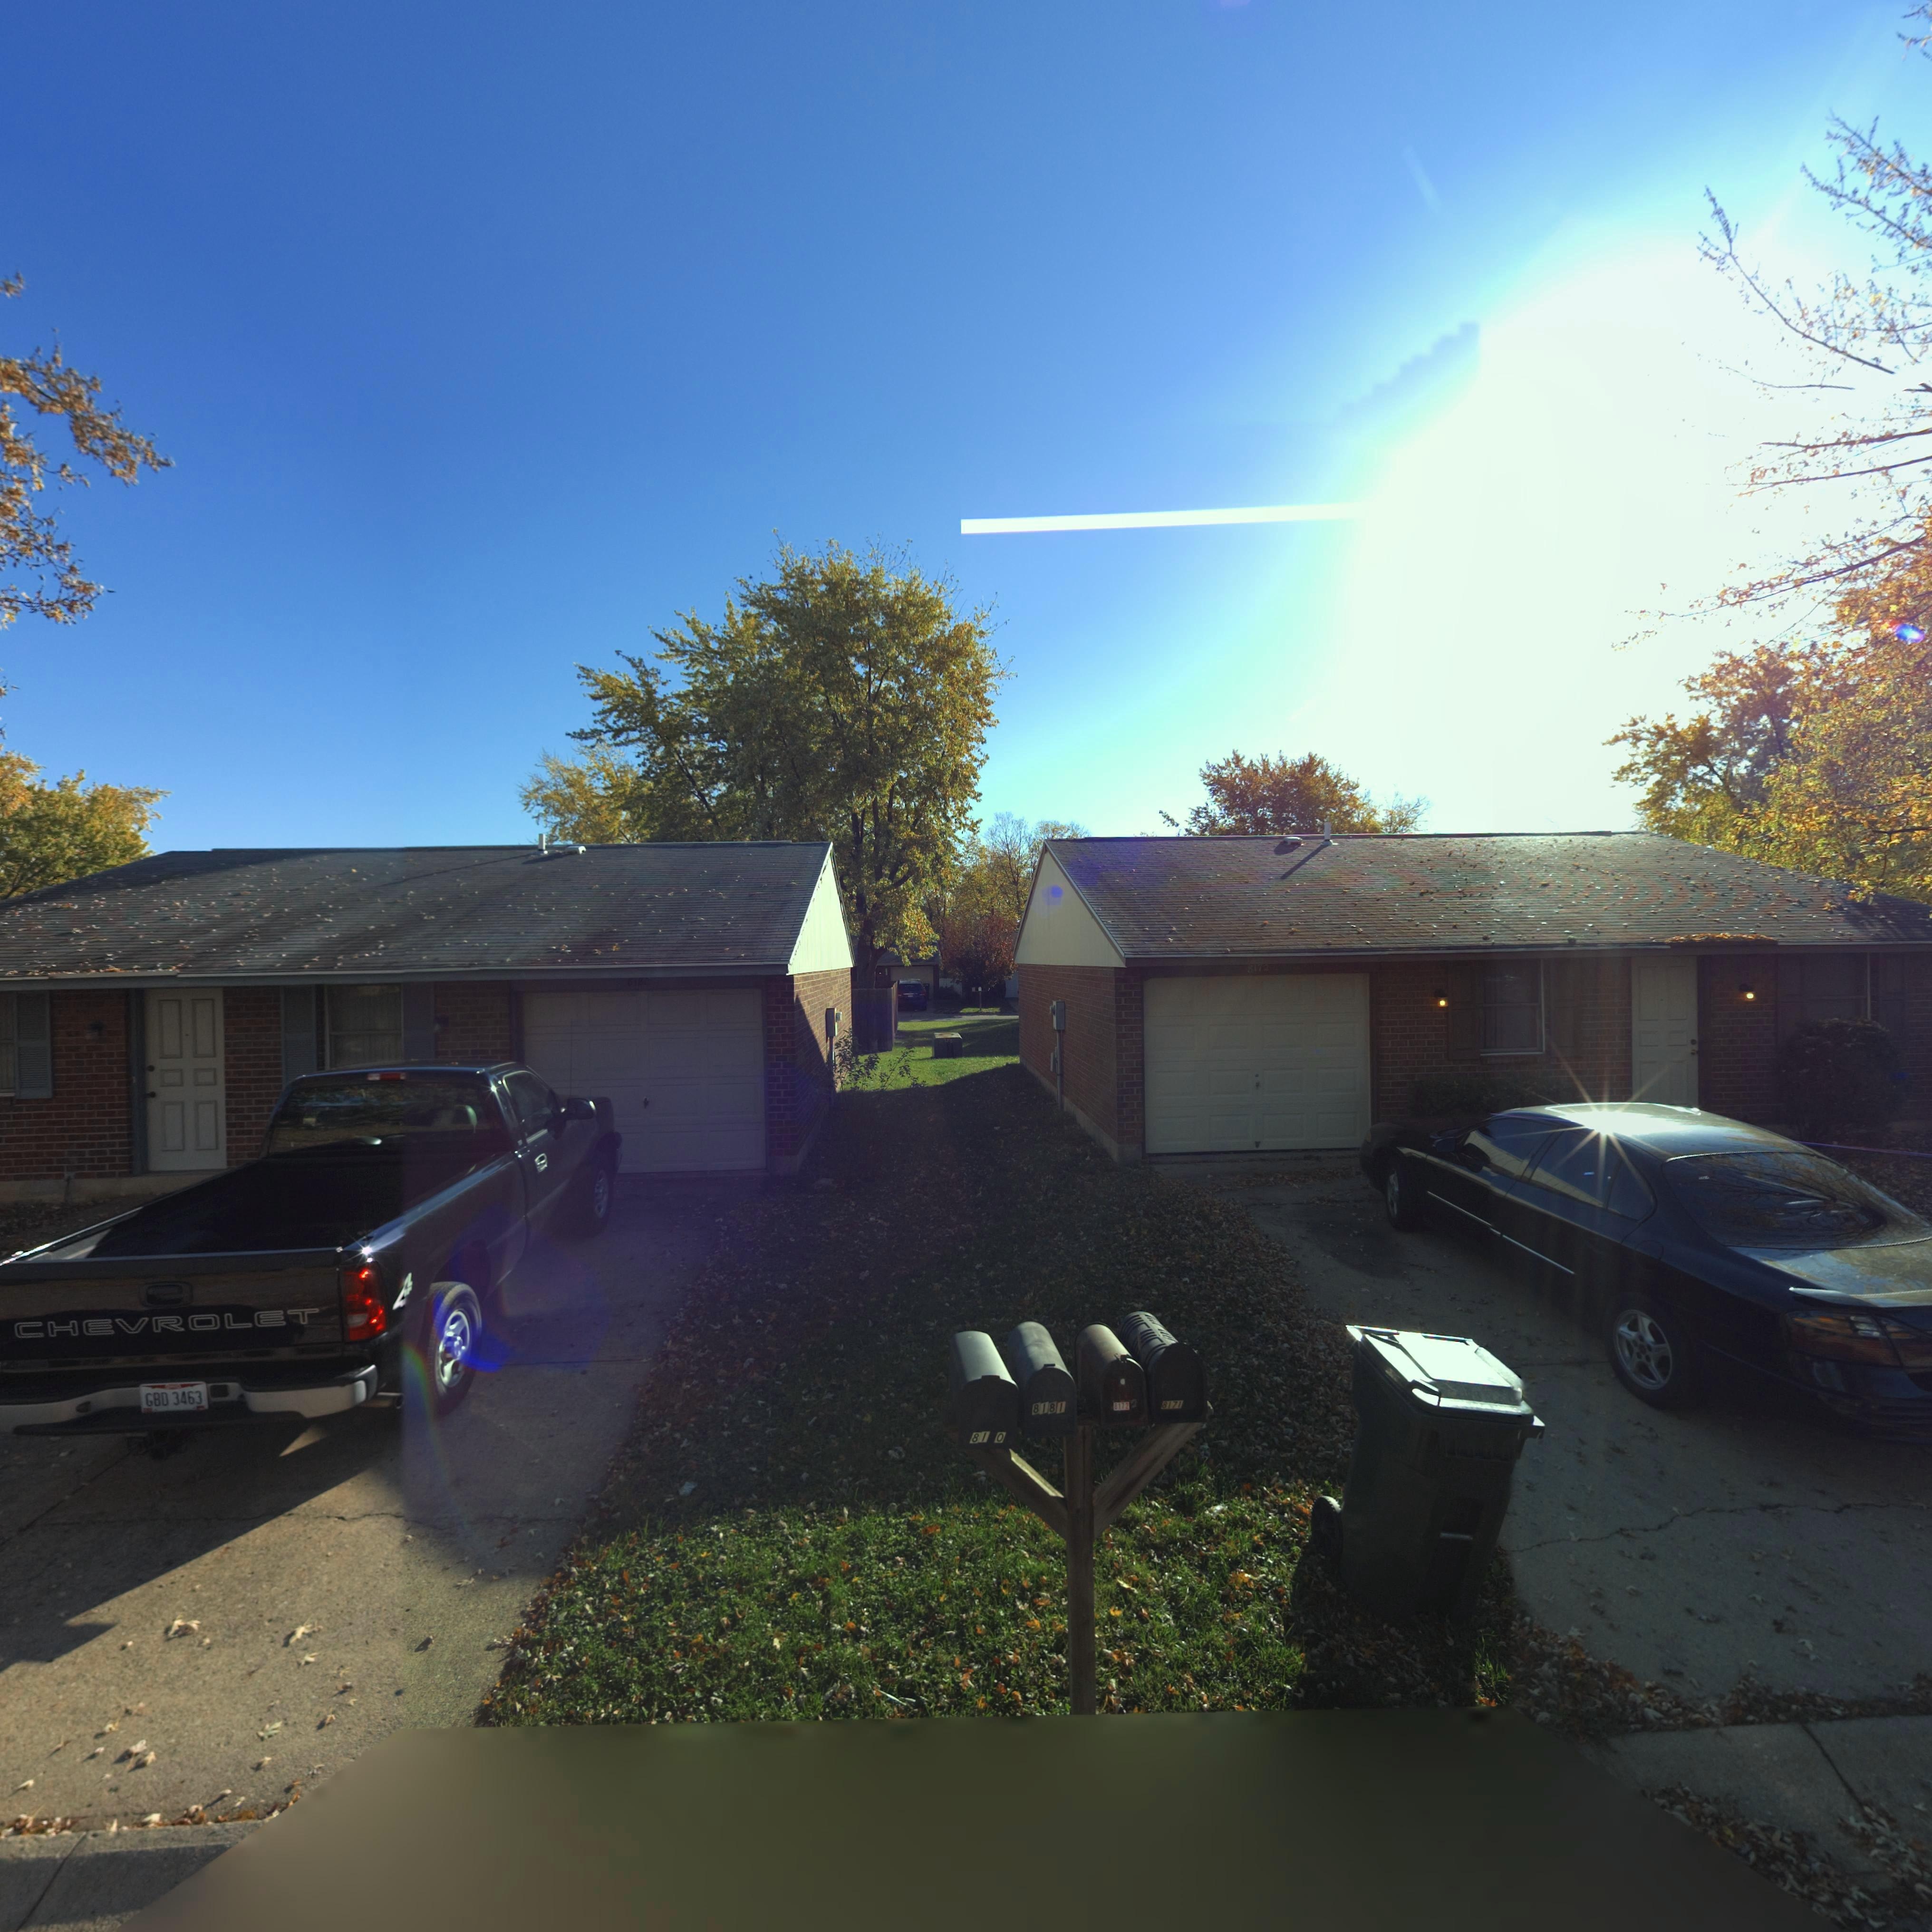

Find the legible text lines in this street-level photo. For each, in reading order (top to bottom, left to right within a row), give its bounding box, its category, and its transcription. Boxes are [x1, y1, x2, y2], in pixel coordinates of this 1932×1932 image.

[1246, 963, 1270, 976] StreetNumber: 8172
[626, 976, 652, 989] StreetNumber: 8180
[1031, 1401, 1065, 1416] StreetNumber: 8181
[1113, 1401, 1130, 1411] StreetNumber: 8172
[1161, 1400, 1182, 1410] StreetNumber: 8171
[970, 1431, 1005, 1444] StreetNumber: 81*0